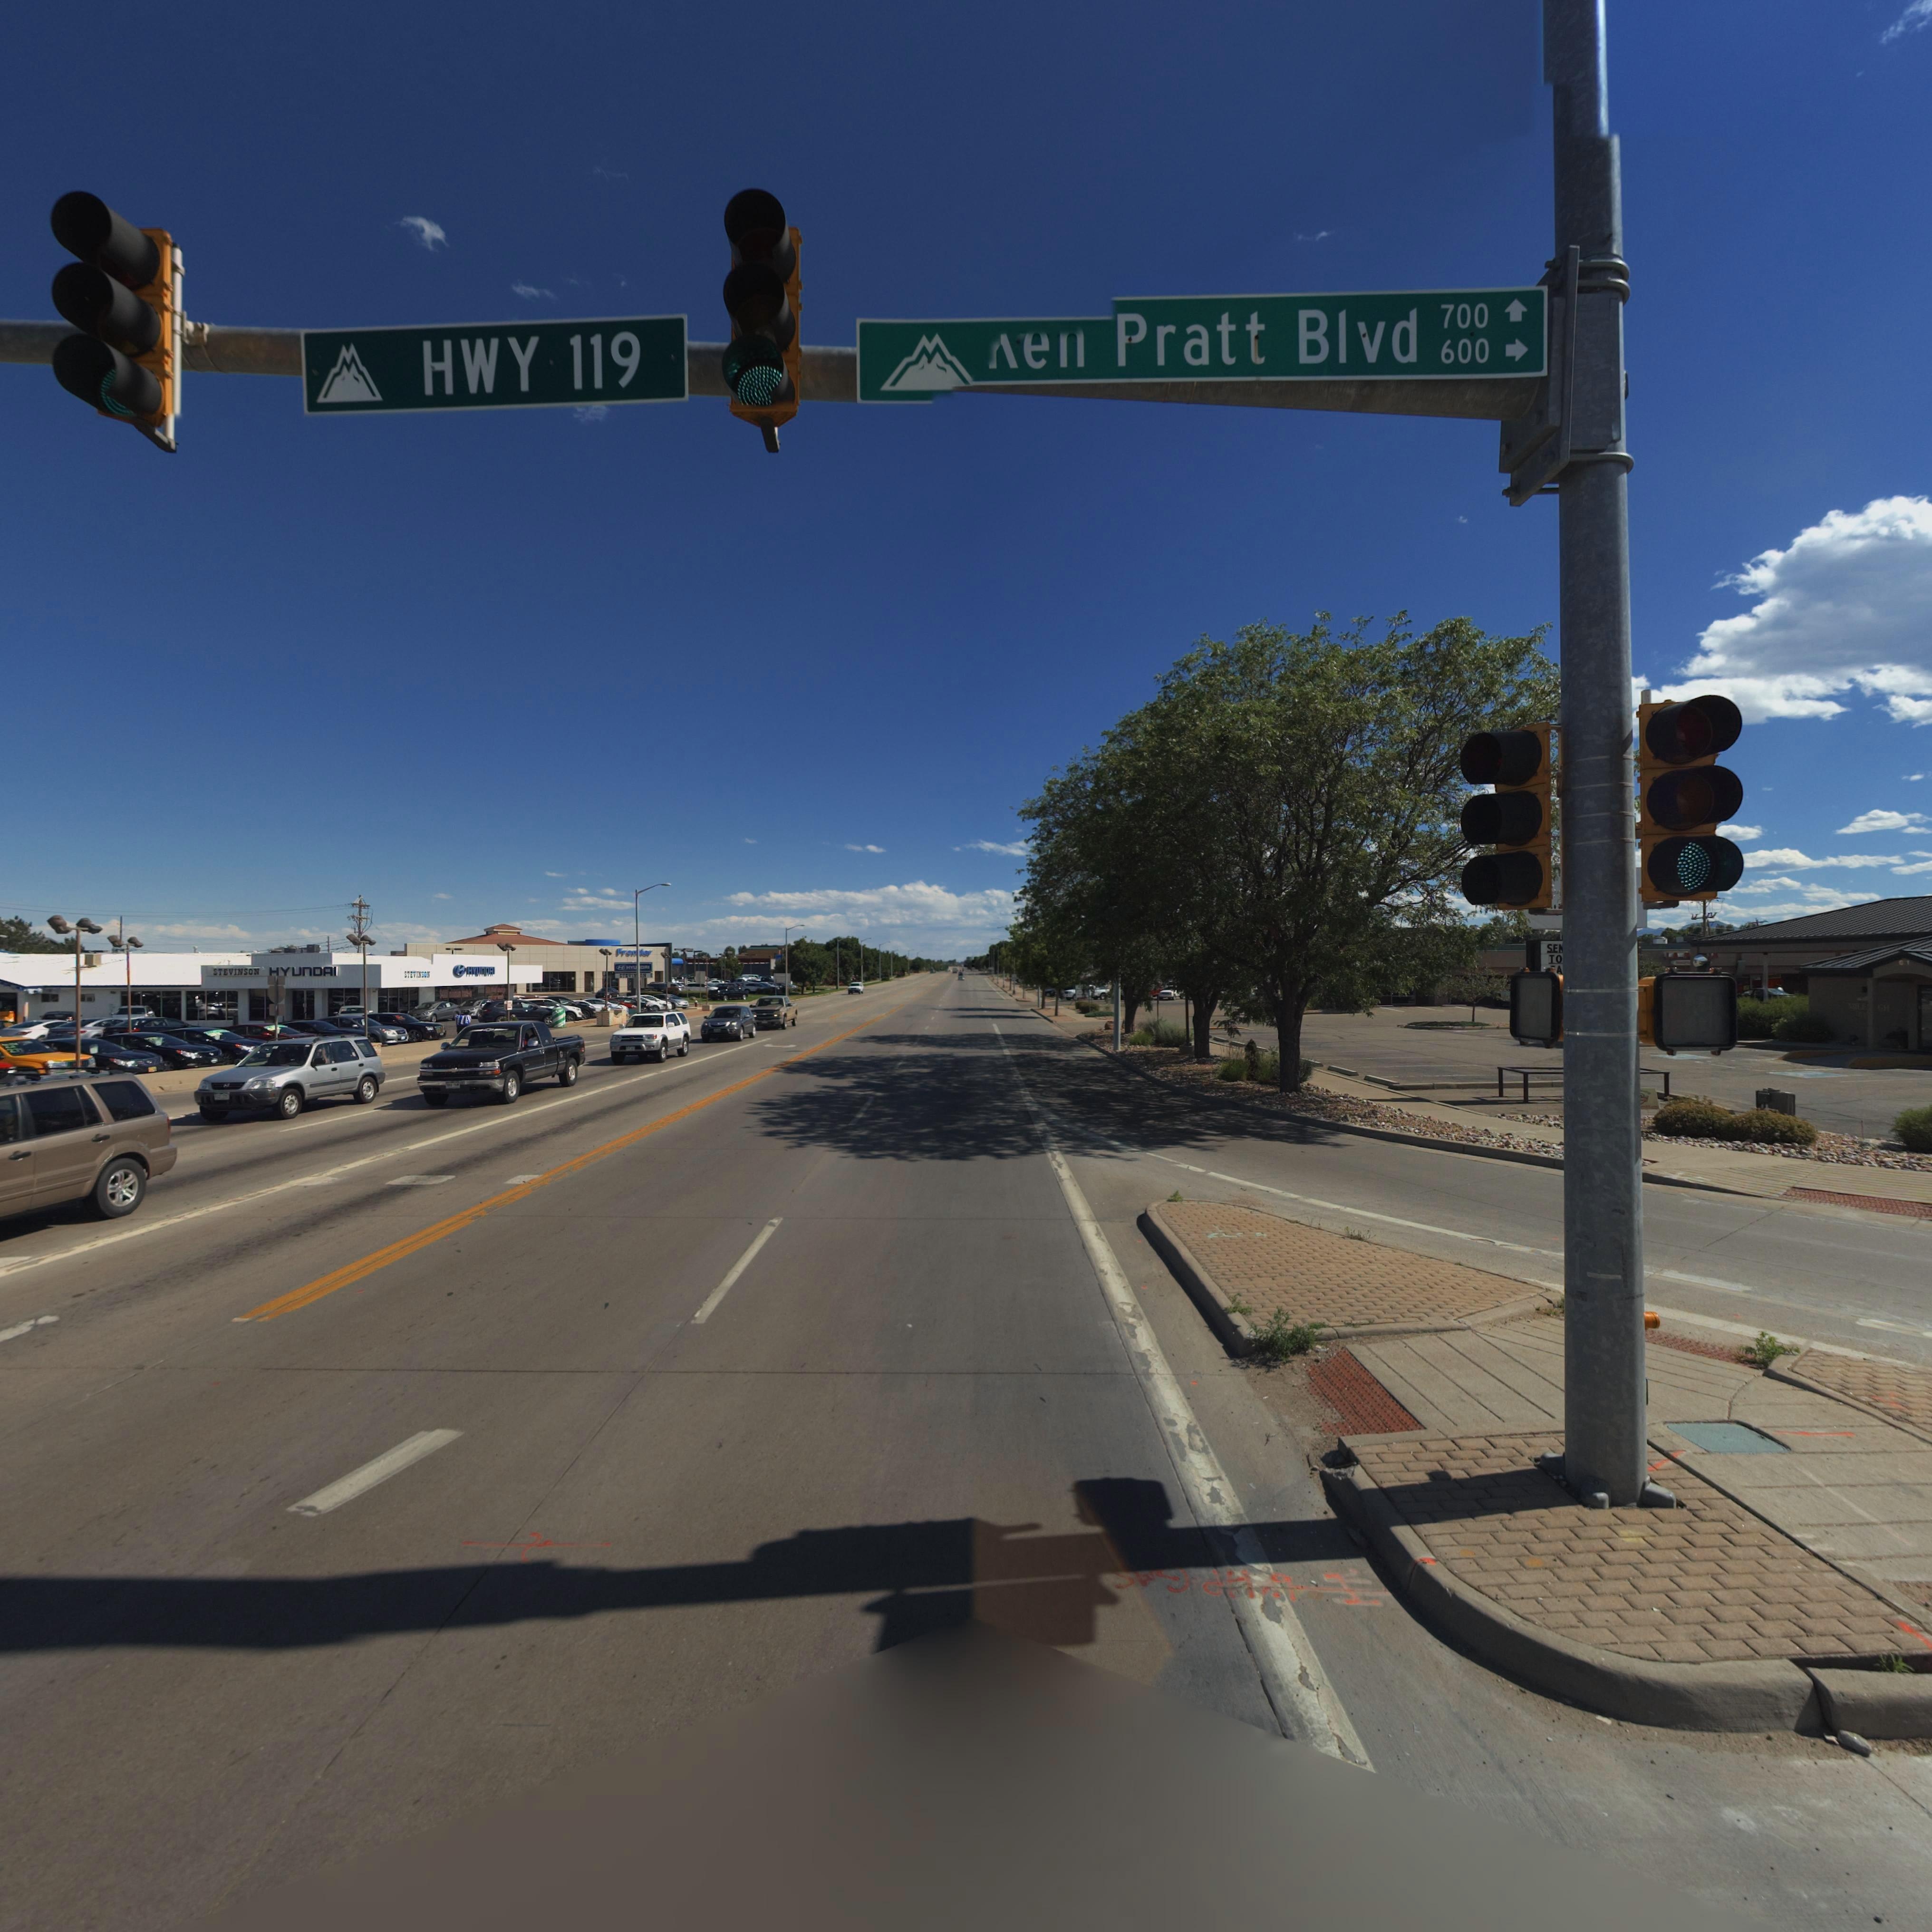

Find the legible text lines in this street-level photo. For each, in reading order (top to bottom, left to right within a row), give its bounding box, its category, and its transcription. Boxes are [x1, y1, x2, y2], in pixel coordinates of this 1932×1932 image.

[1438, 302, 1490, 330] StreetNumberRange: 700
[980, 303, 1422, 373] BusinessName: *** Pratt Blvd
[1439, 336, 1531, 366] StreetNumberRange: 600 ->
[419, 328, 644, 396] StreetName: HWY 119
[213, 967, 260, 976] BusinessName: STEVINSON
[268, 966, 337, 976] BusinessName: HYUnDAI
[404, 970, 430, 978] BusinessName: STEVINSO*
[466, 966, 495, 974] BusinessName: HYUnDAI
[619, 973, 647, 977] BusinessName: *TEVIN**N
[626, 965, 650, 969] BusinessName: HYU*DAI